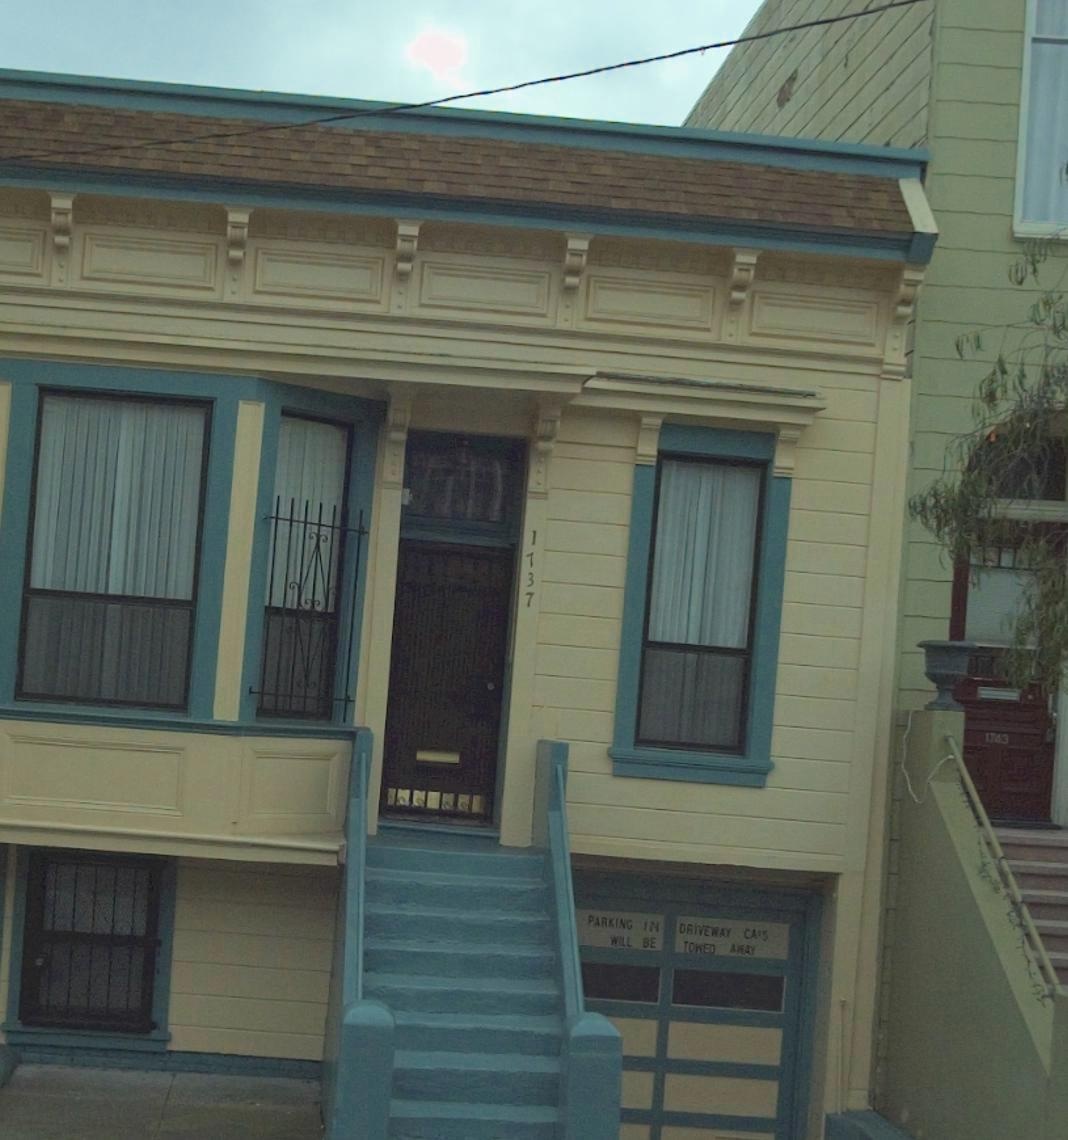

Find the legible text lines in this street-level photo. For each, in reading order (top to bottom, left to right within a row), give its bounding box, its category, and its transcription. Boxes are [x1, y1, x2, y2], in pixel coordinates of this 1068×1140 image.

[522, 528, 538, 613] StreetNumber: 1737
[983, 730, 1009, 746] StreetNumber: 1743
[584, 913, 770, 943] None: PARKING IN DRIVEWAY CA*S
[608, 933, 757, 957] None: WILL BE TOWED AWAY